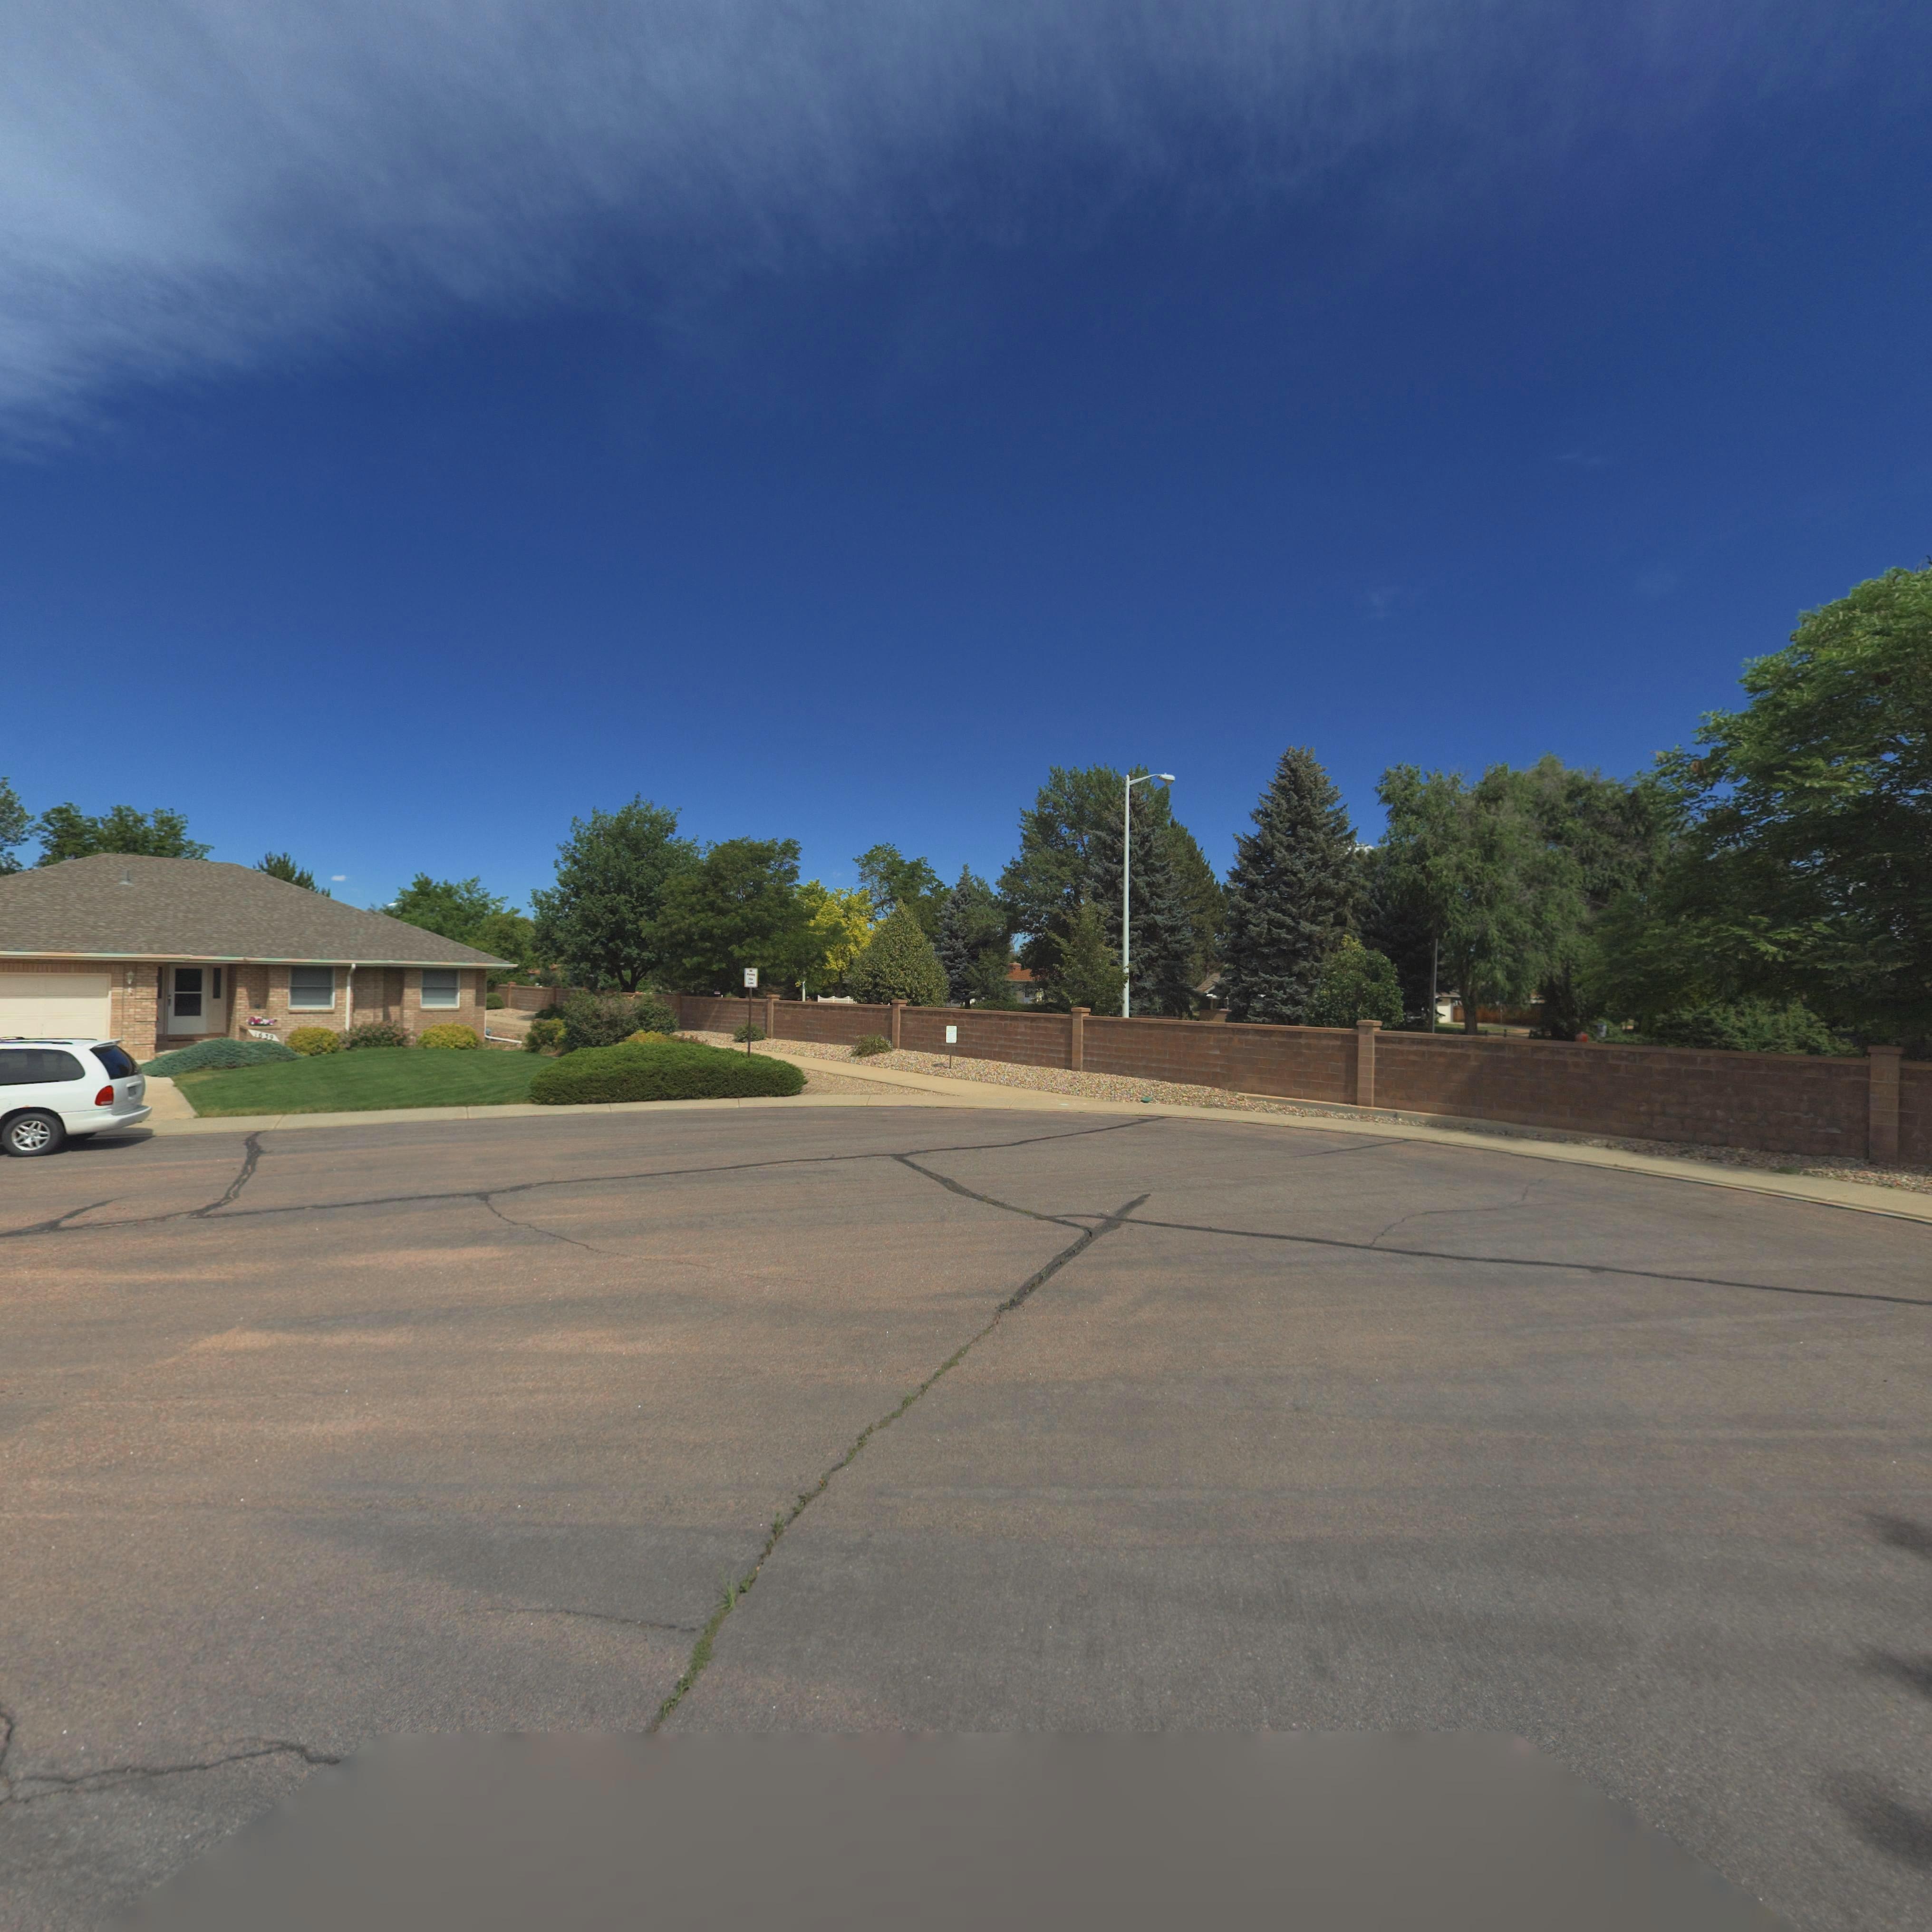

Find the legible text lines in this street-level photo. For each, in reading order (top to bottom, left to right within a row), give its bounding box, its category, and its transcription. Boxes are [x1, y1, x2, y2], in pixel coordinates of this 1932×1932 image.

[254, 1031, 274, 1041] StreetNumber: 1639